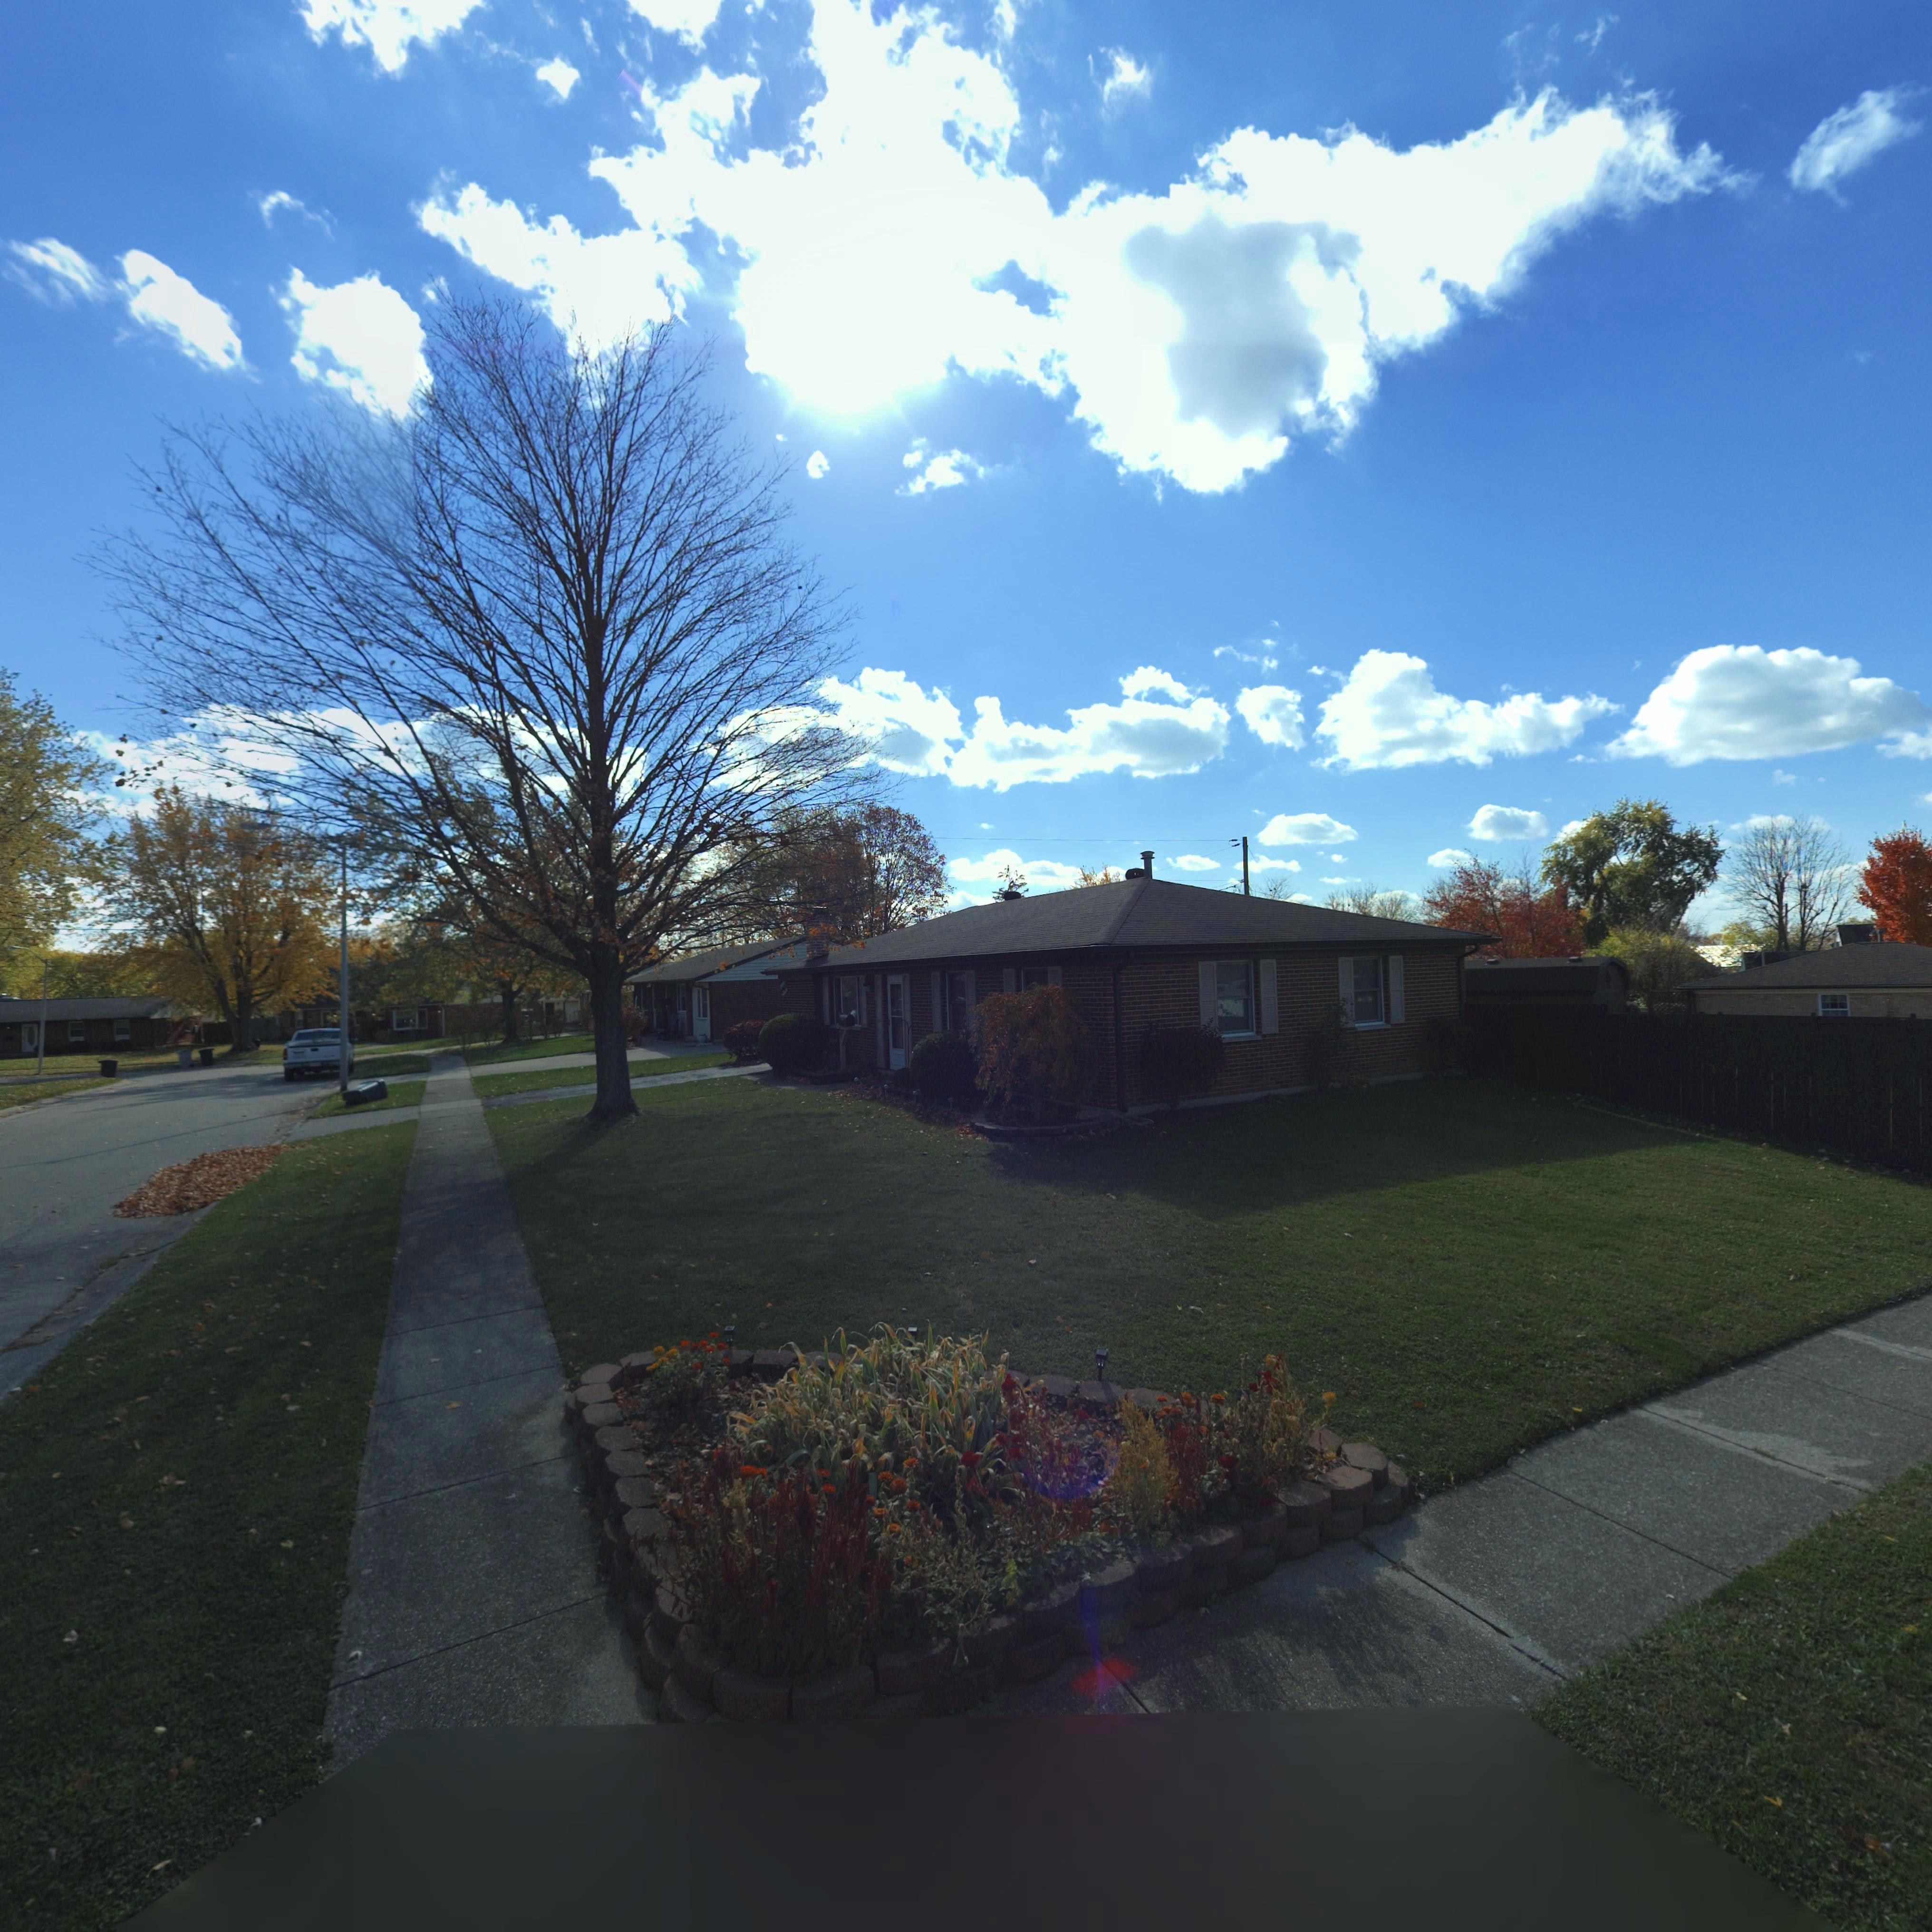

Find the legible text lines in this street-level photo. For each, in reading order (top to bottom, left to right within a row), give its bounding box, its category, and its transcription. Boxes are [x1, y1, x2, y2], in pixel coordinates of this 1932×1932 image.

[782, 981, 788, 991] StreetNumber: 00